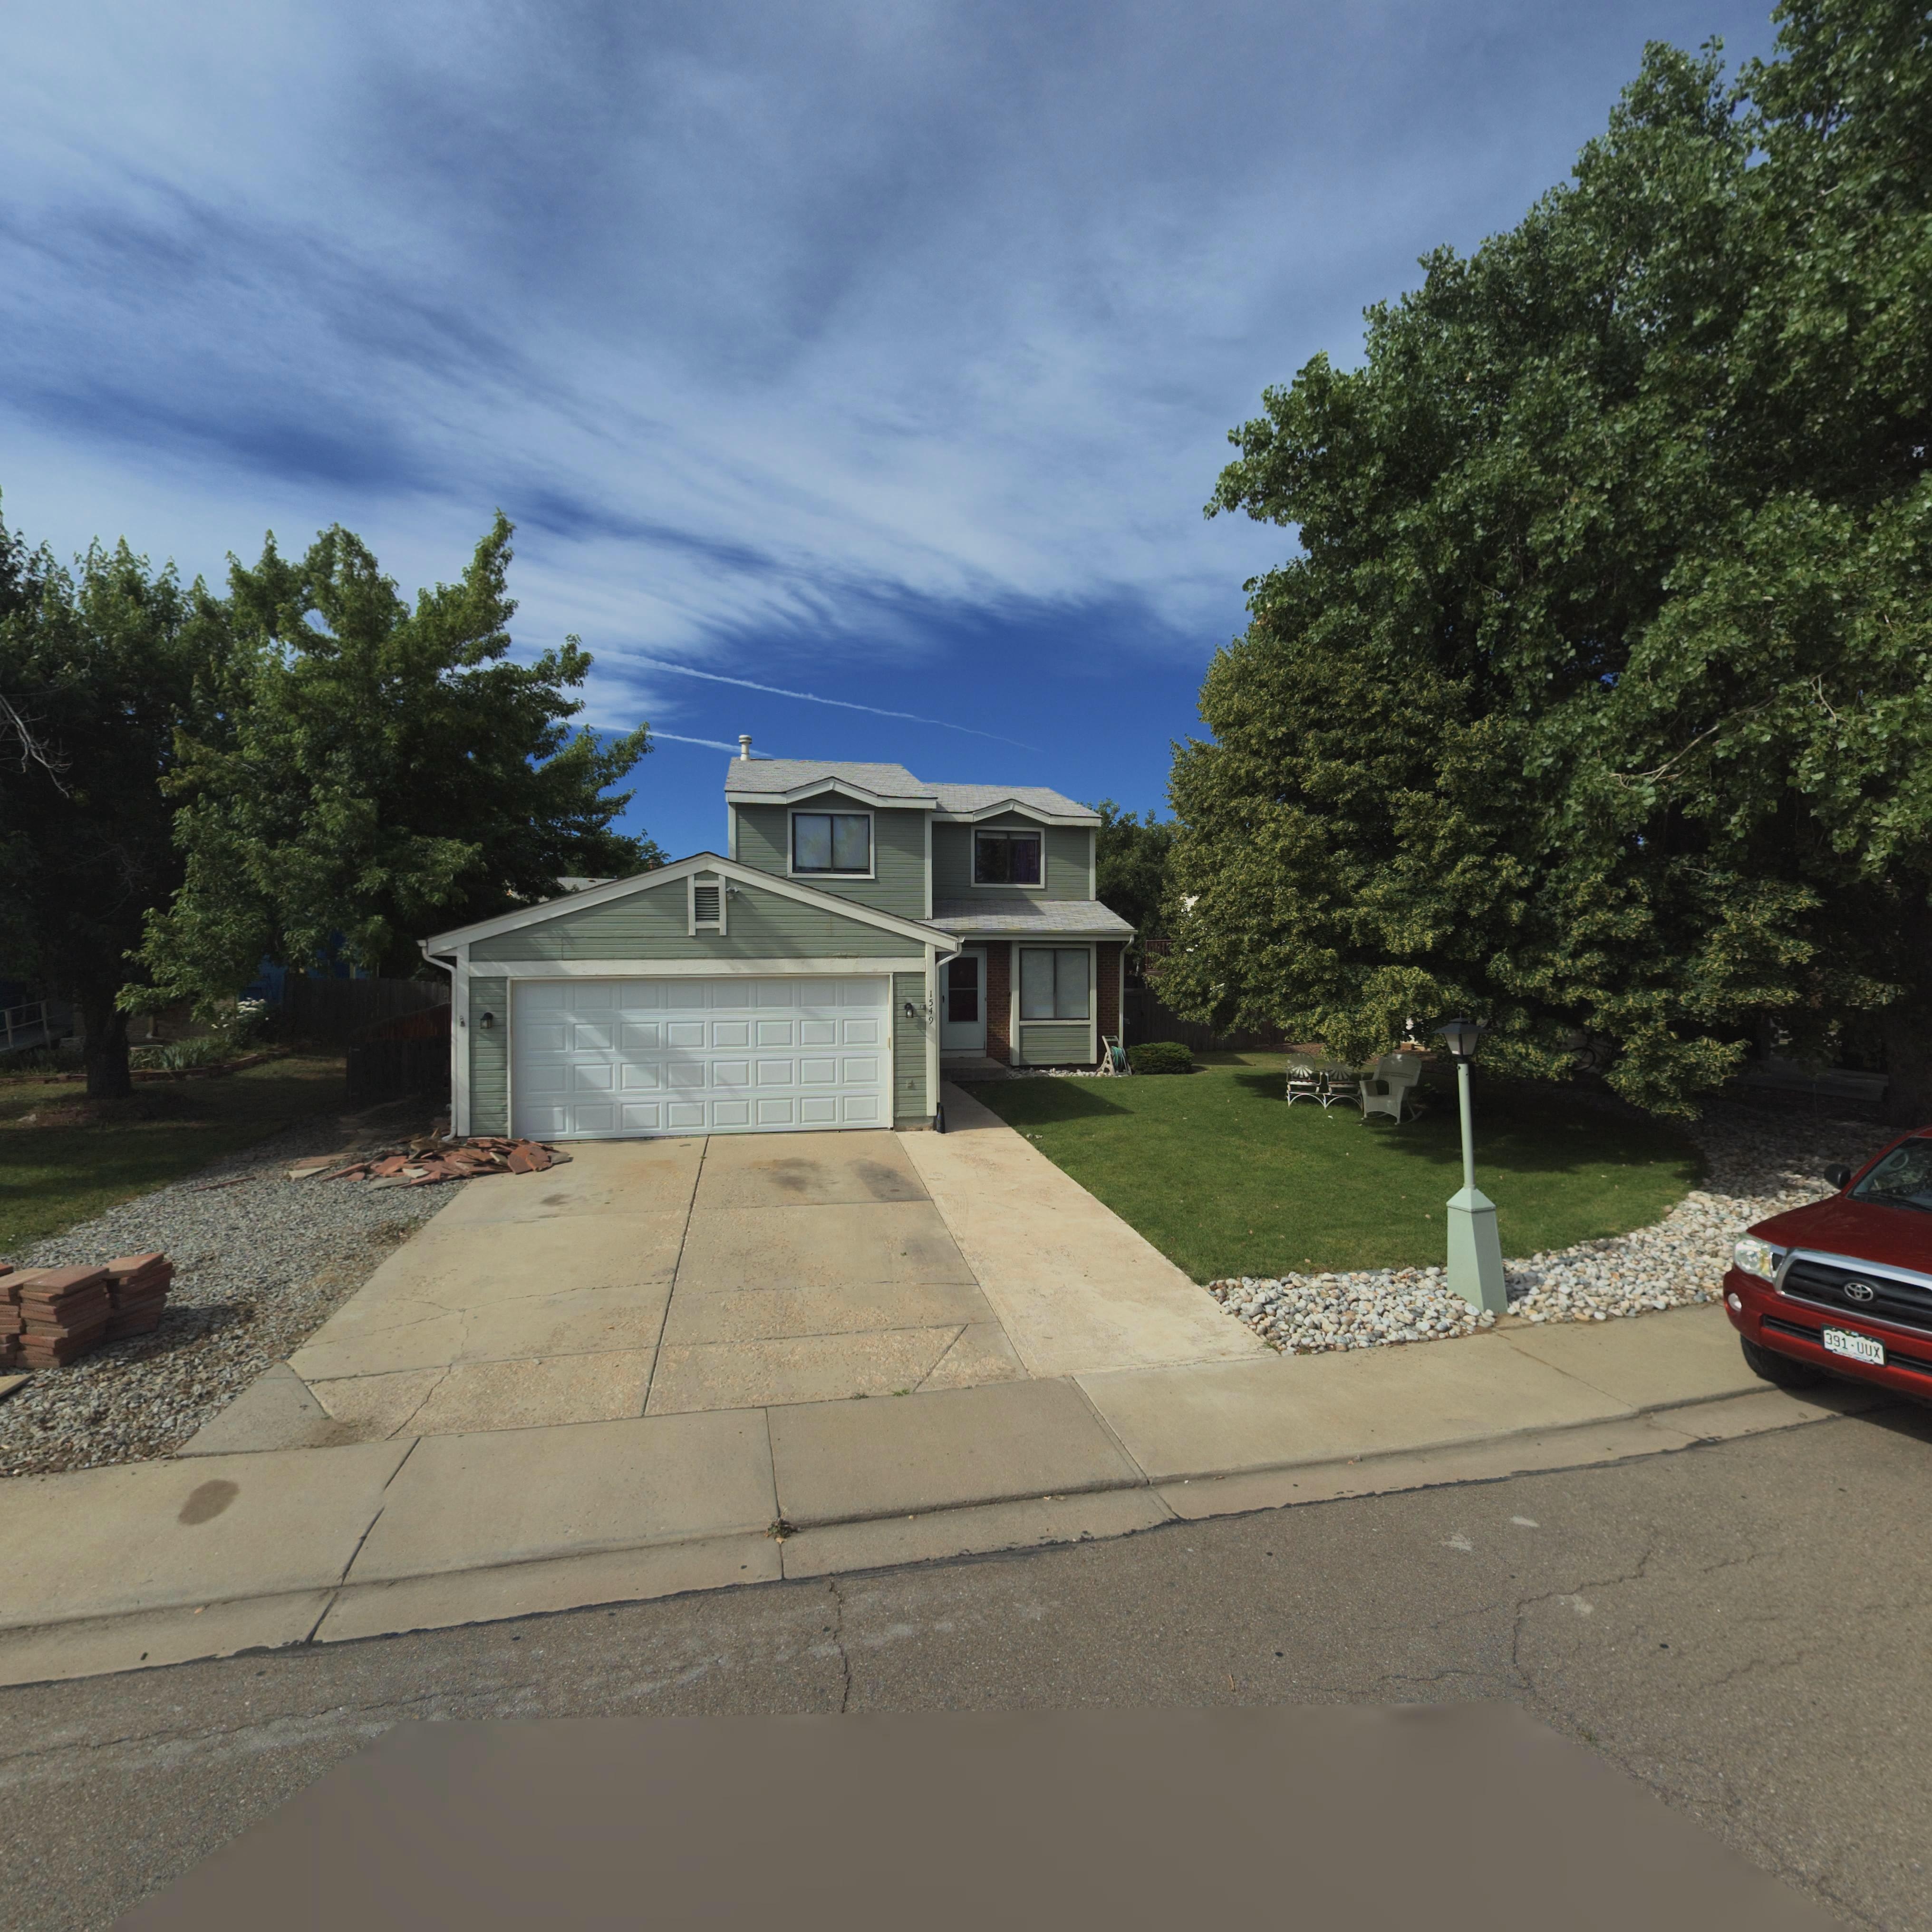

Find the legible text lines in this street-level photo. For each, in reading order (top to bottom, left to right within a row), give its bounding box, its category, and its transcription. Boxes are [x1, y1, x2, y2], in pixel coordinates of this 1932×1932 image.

[927, 989, 934, 1024] StreetNumber: 1549